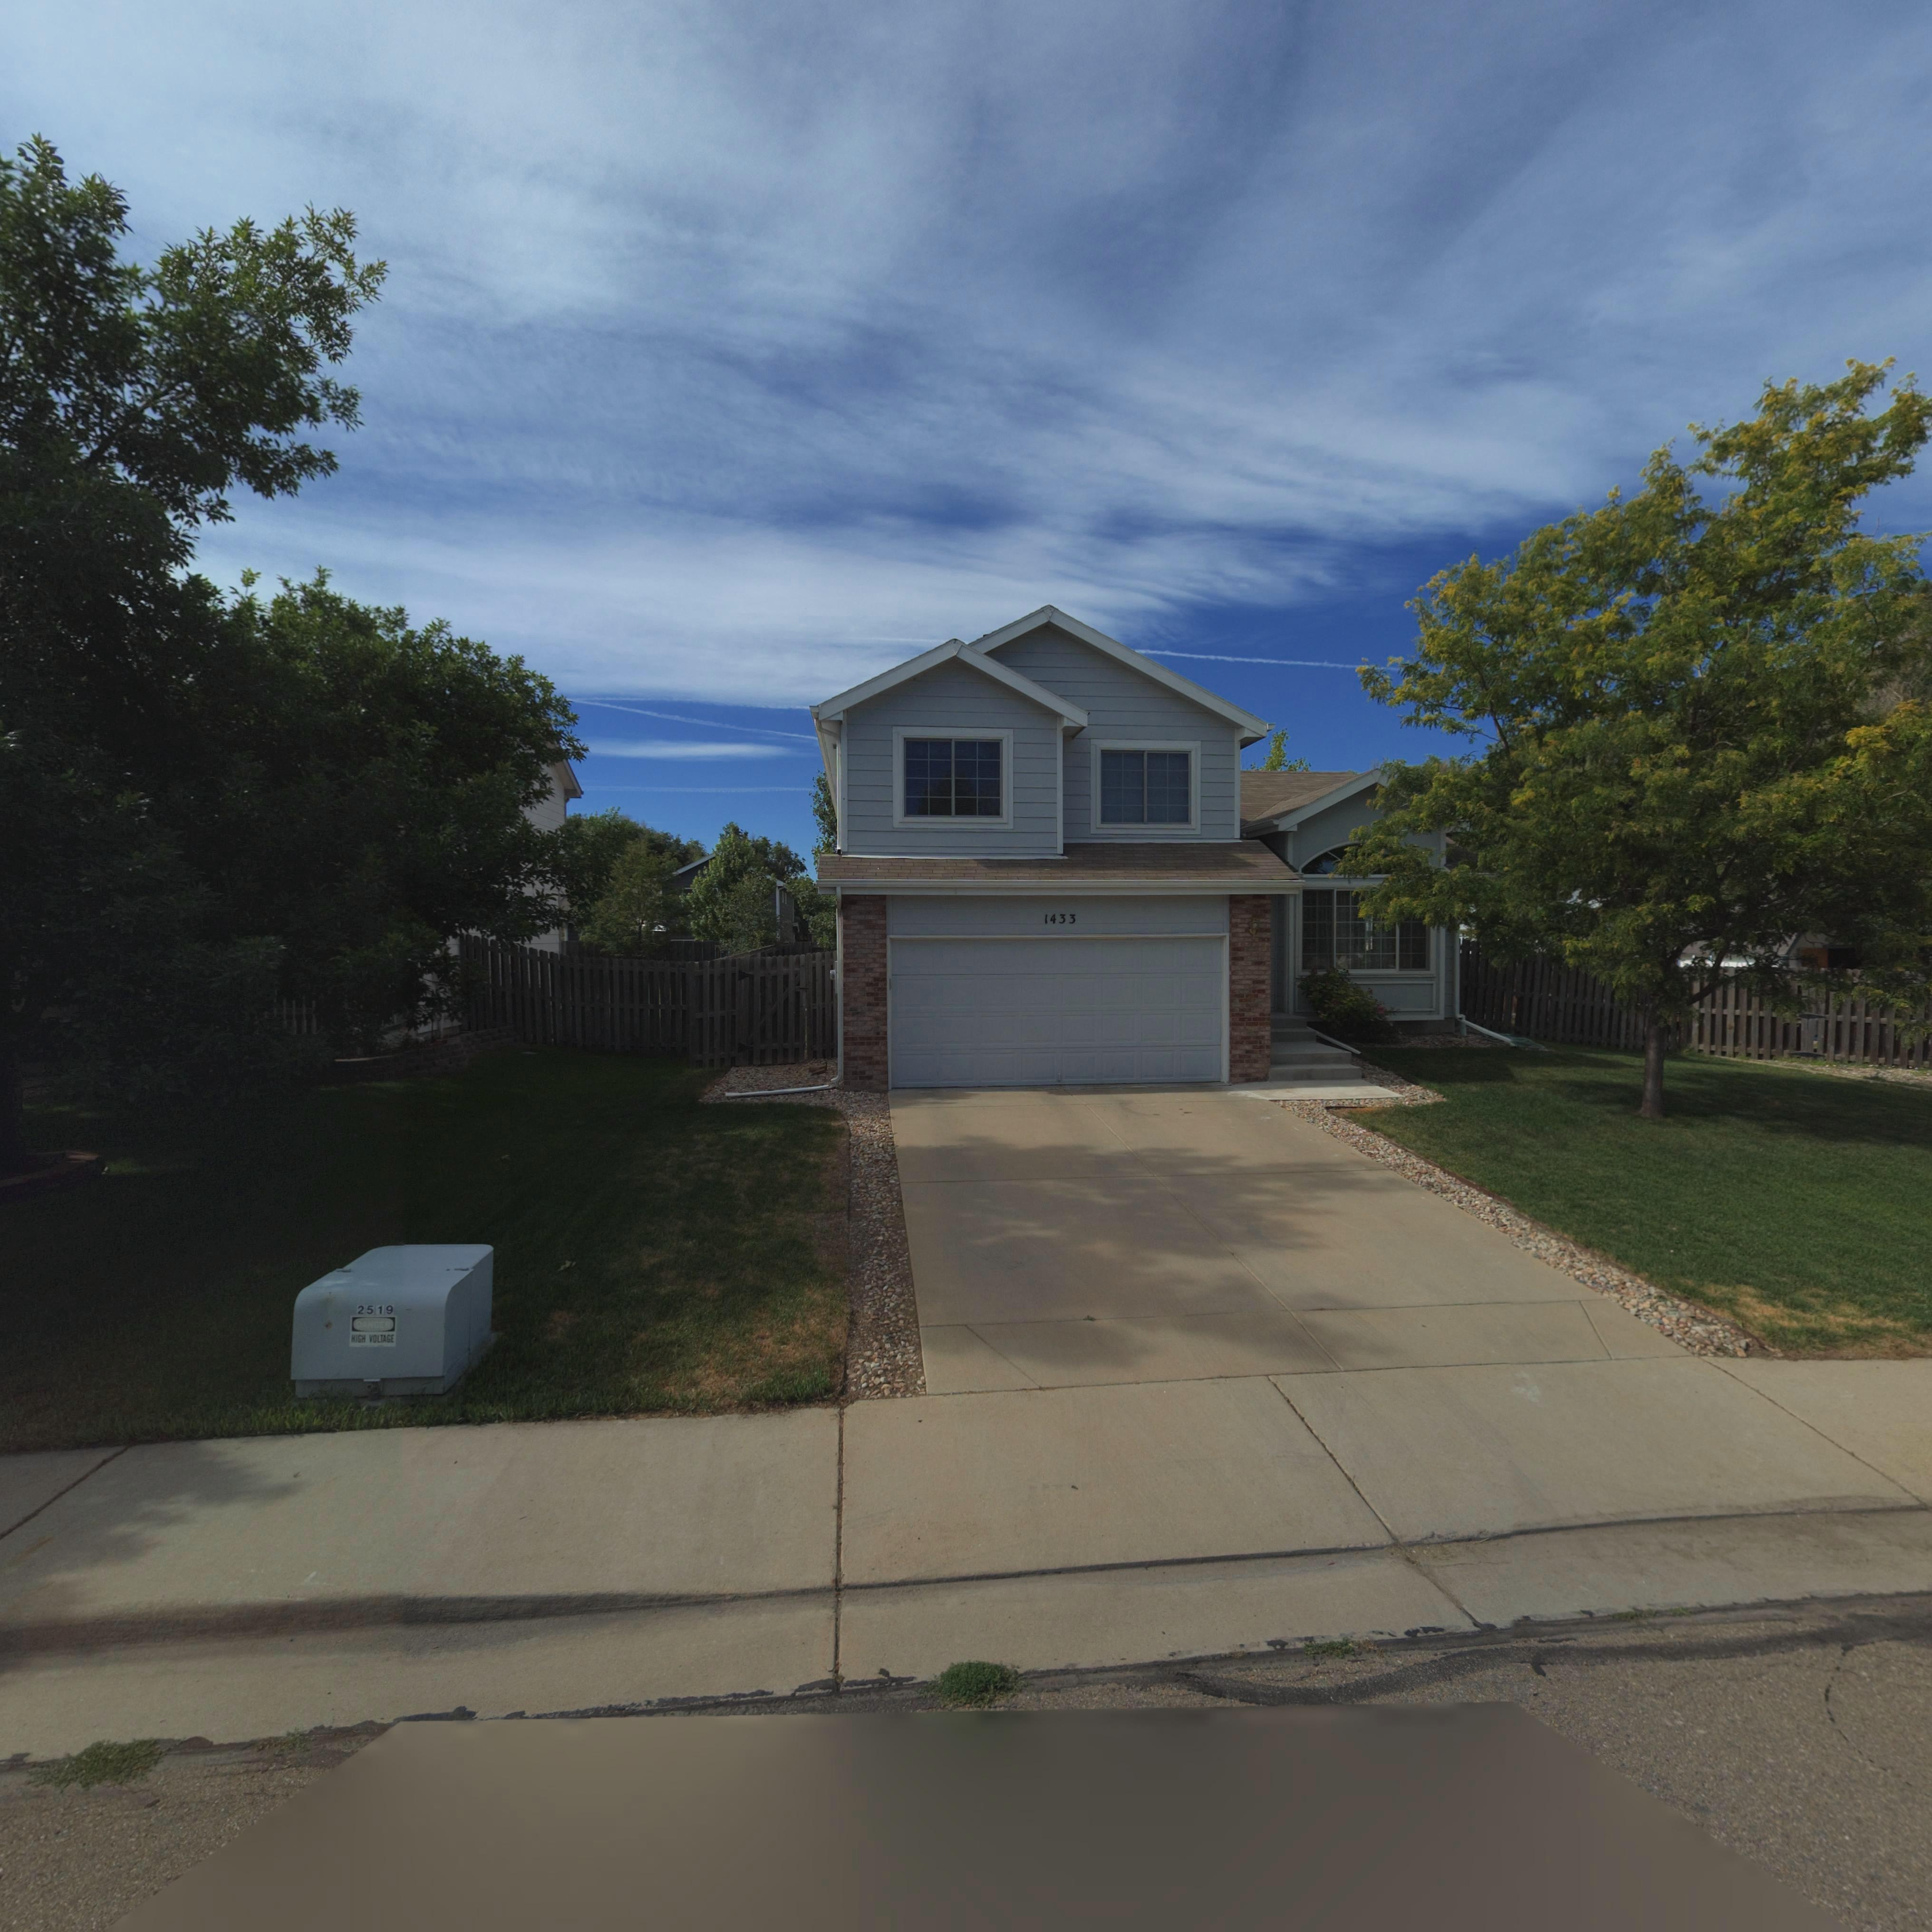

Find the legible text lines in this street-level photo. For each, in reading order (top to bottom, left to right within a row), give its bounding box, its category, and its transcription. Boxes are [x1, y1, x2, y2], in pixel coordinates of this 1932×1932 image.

[1043, 912, 1076, 925] StreetNumber: 1433